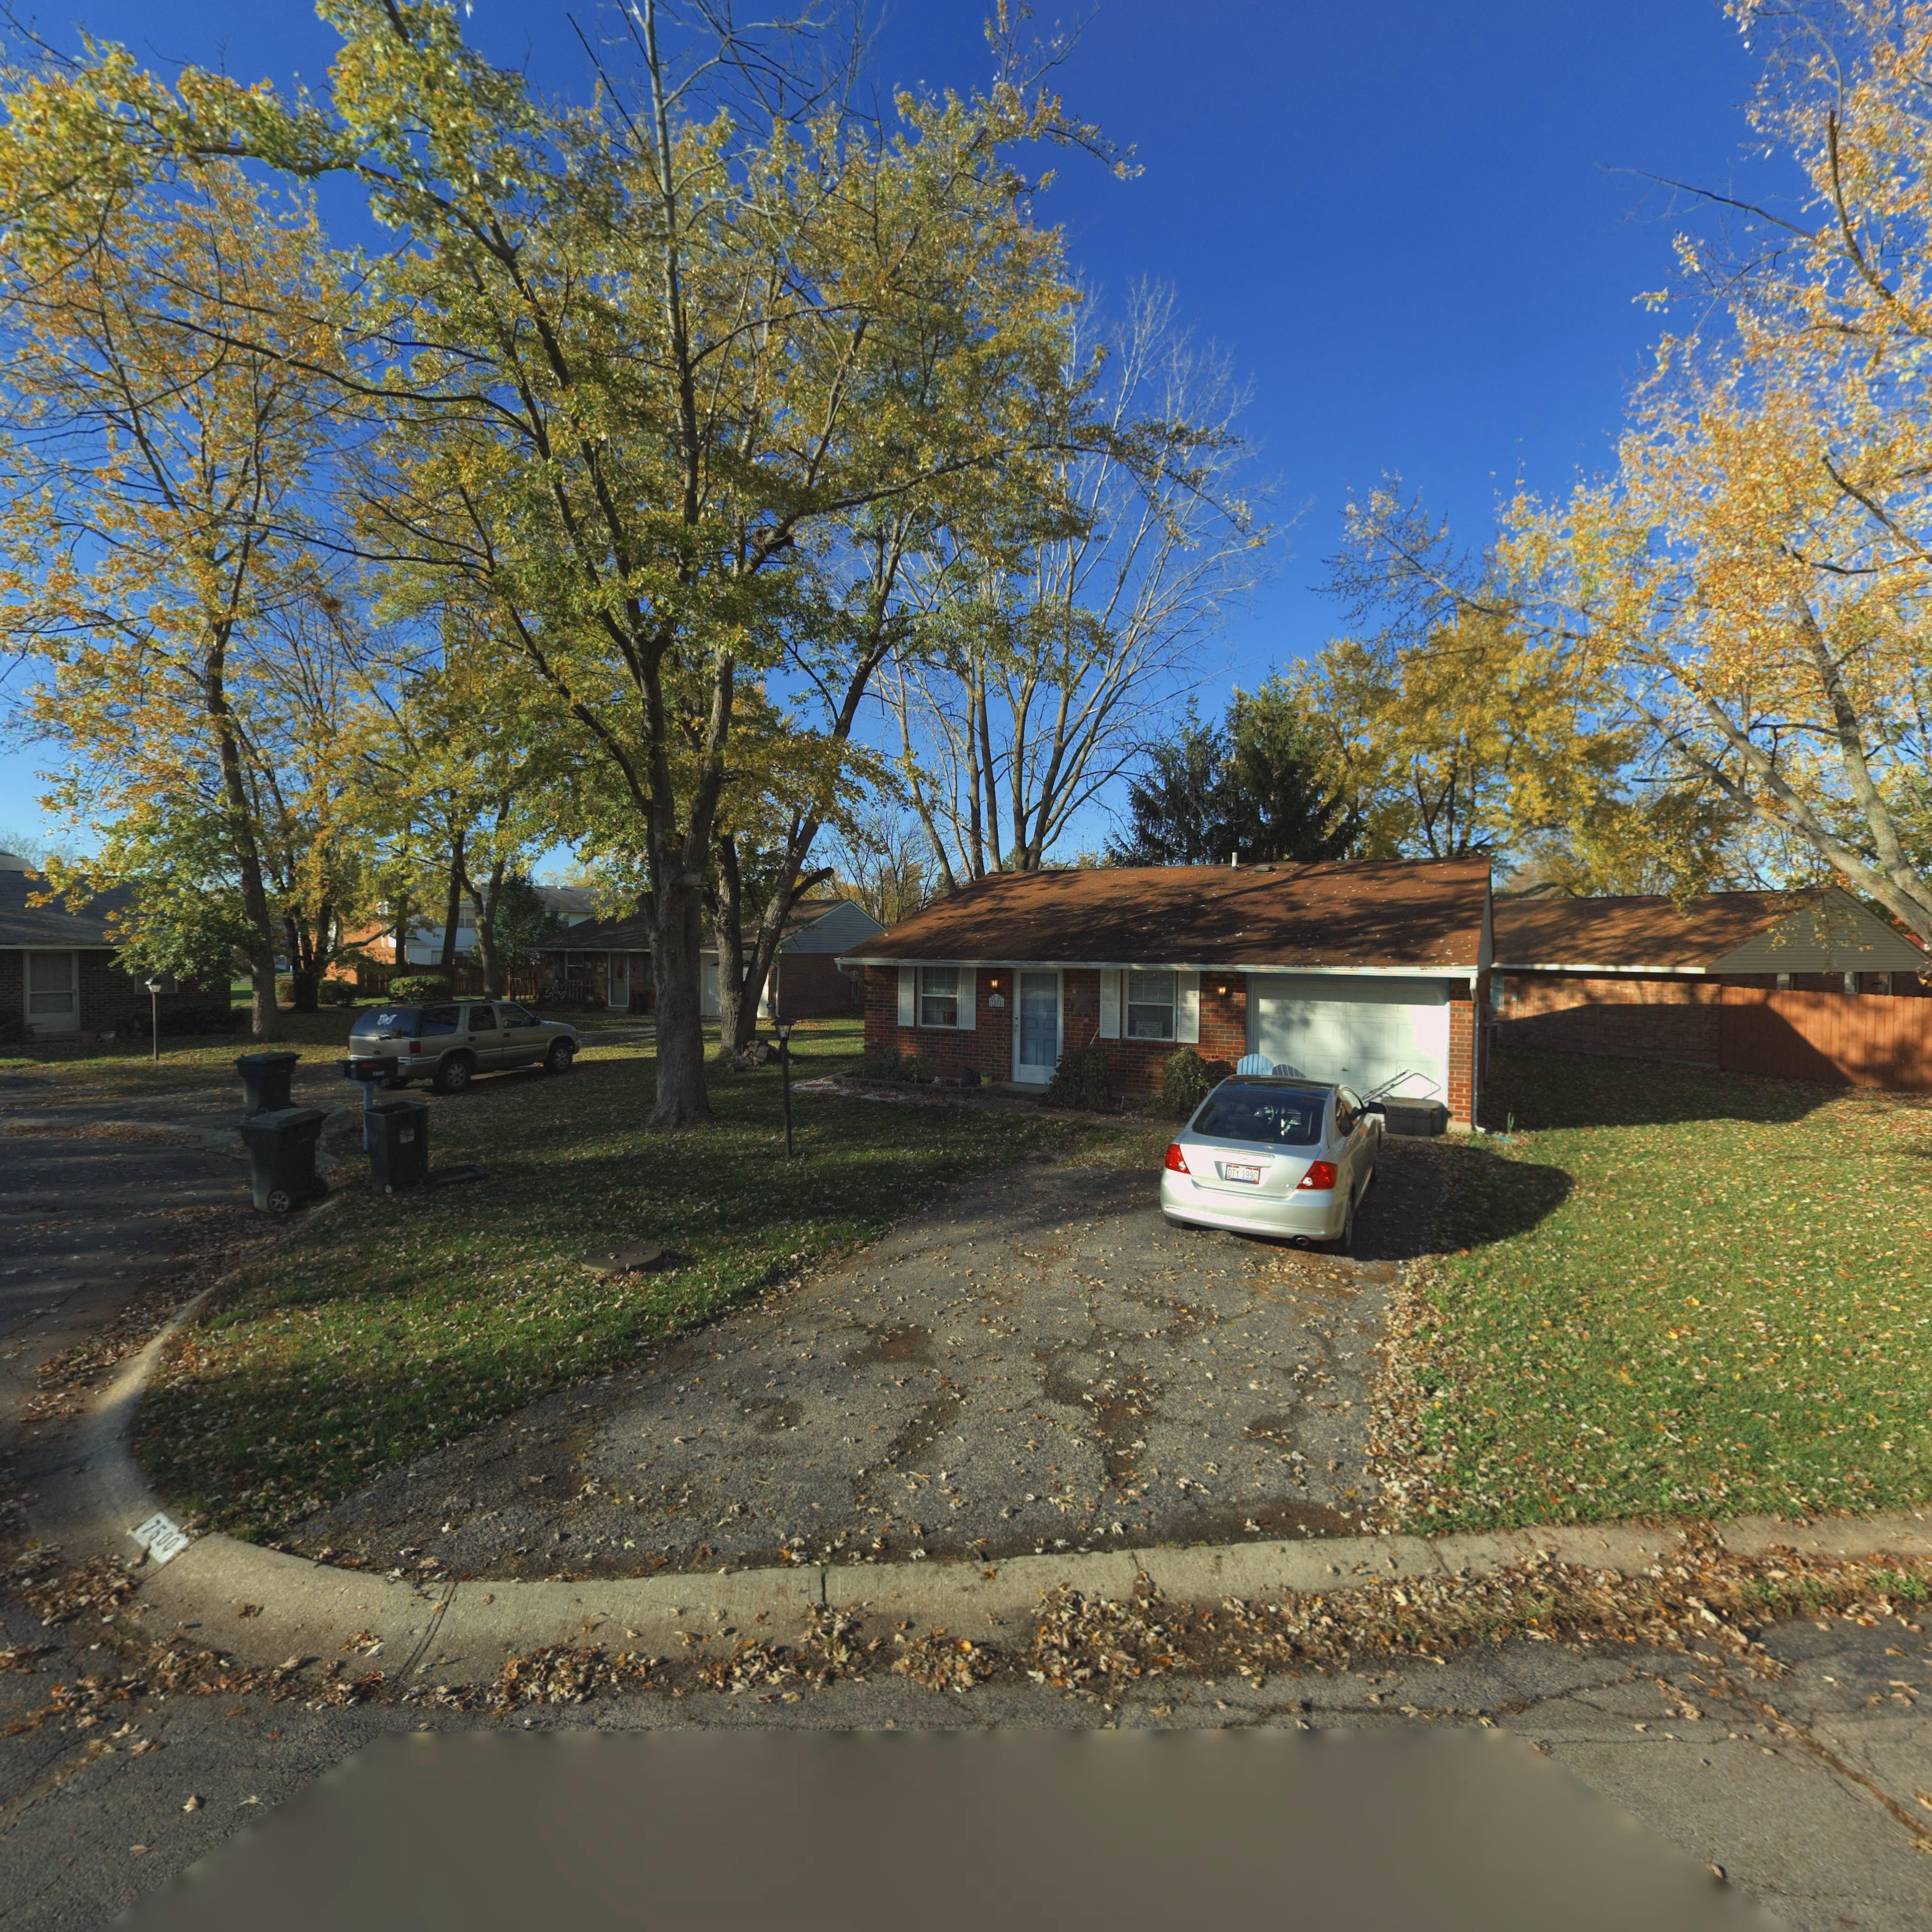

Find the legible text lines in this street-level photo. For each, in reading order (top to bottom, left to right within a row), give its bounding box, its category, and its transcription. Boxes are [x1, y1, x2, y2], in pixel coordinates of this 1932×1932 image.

[990, 999, 1003, 1006] StreetNumber: 75**
[1227, 1167, 1258, 1181] None: DTY 1990
[139, 1517, 182, 1554] StreetNumber: 7500